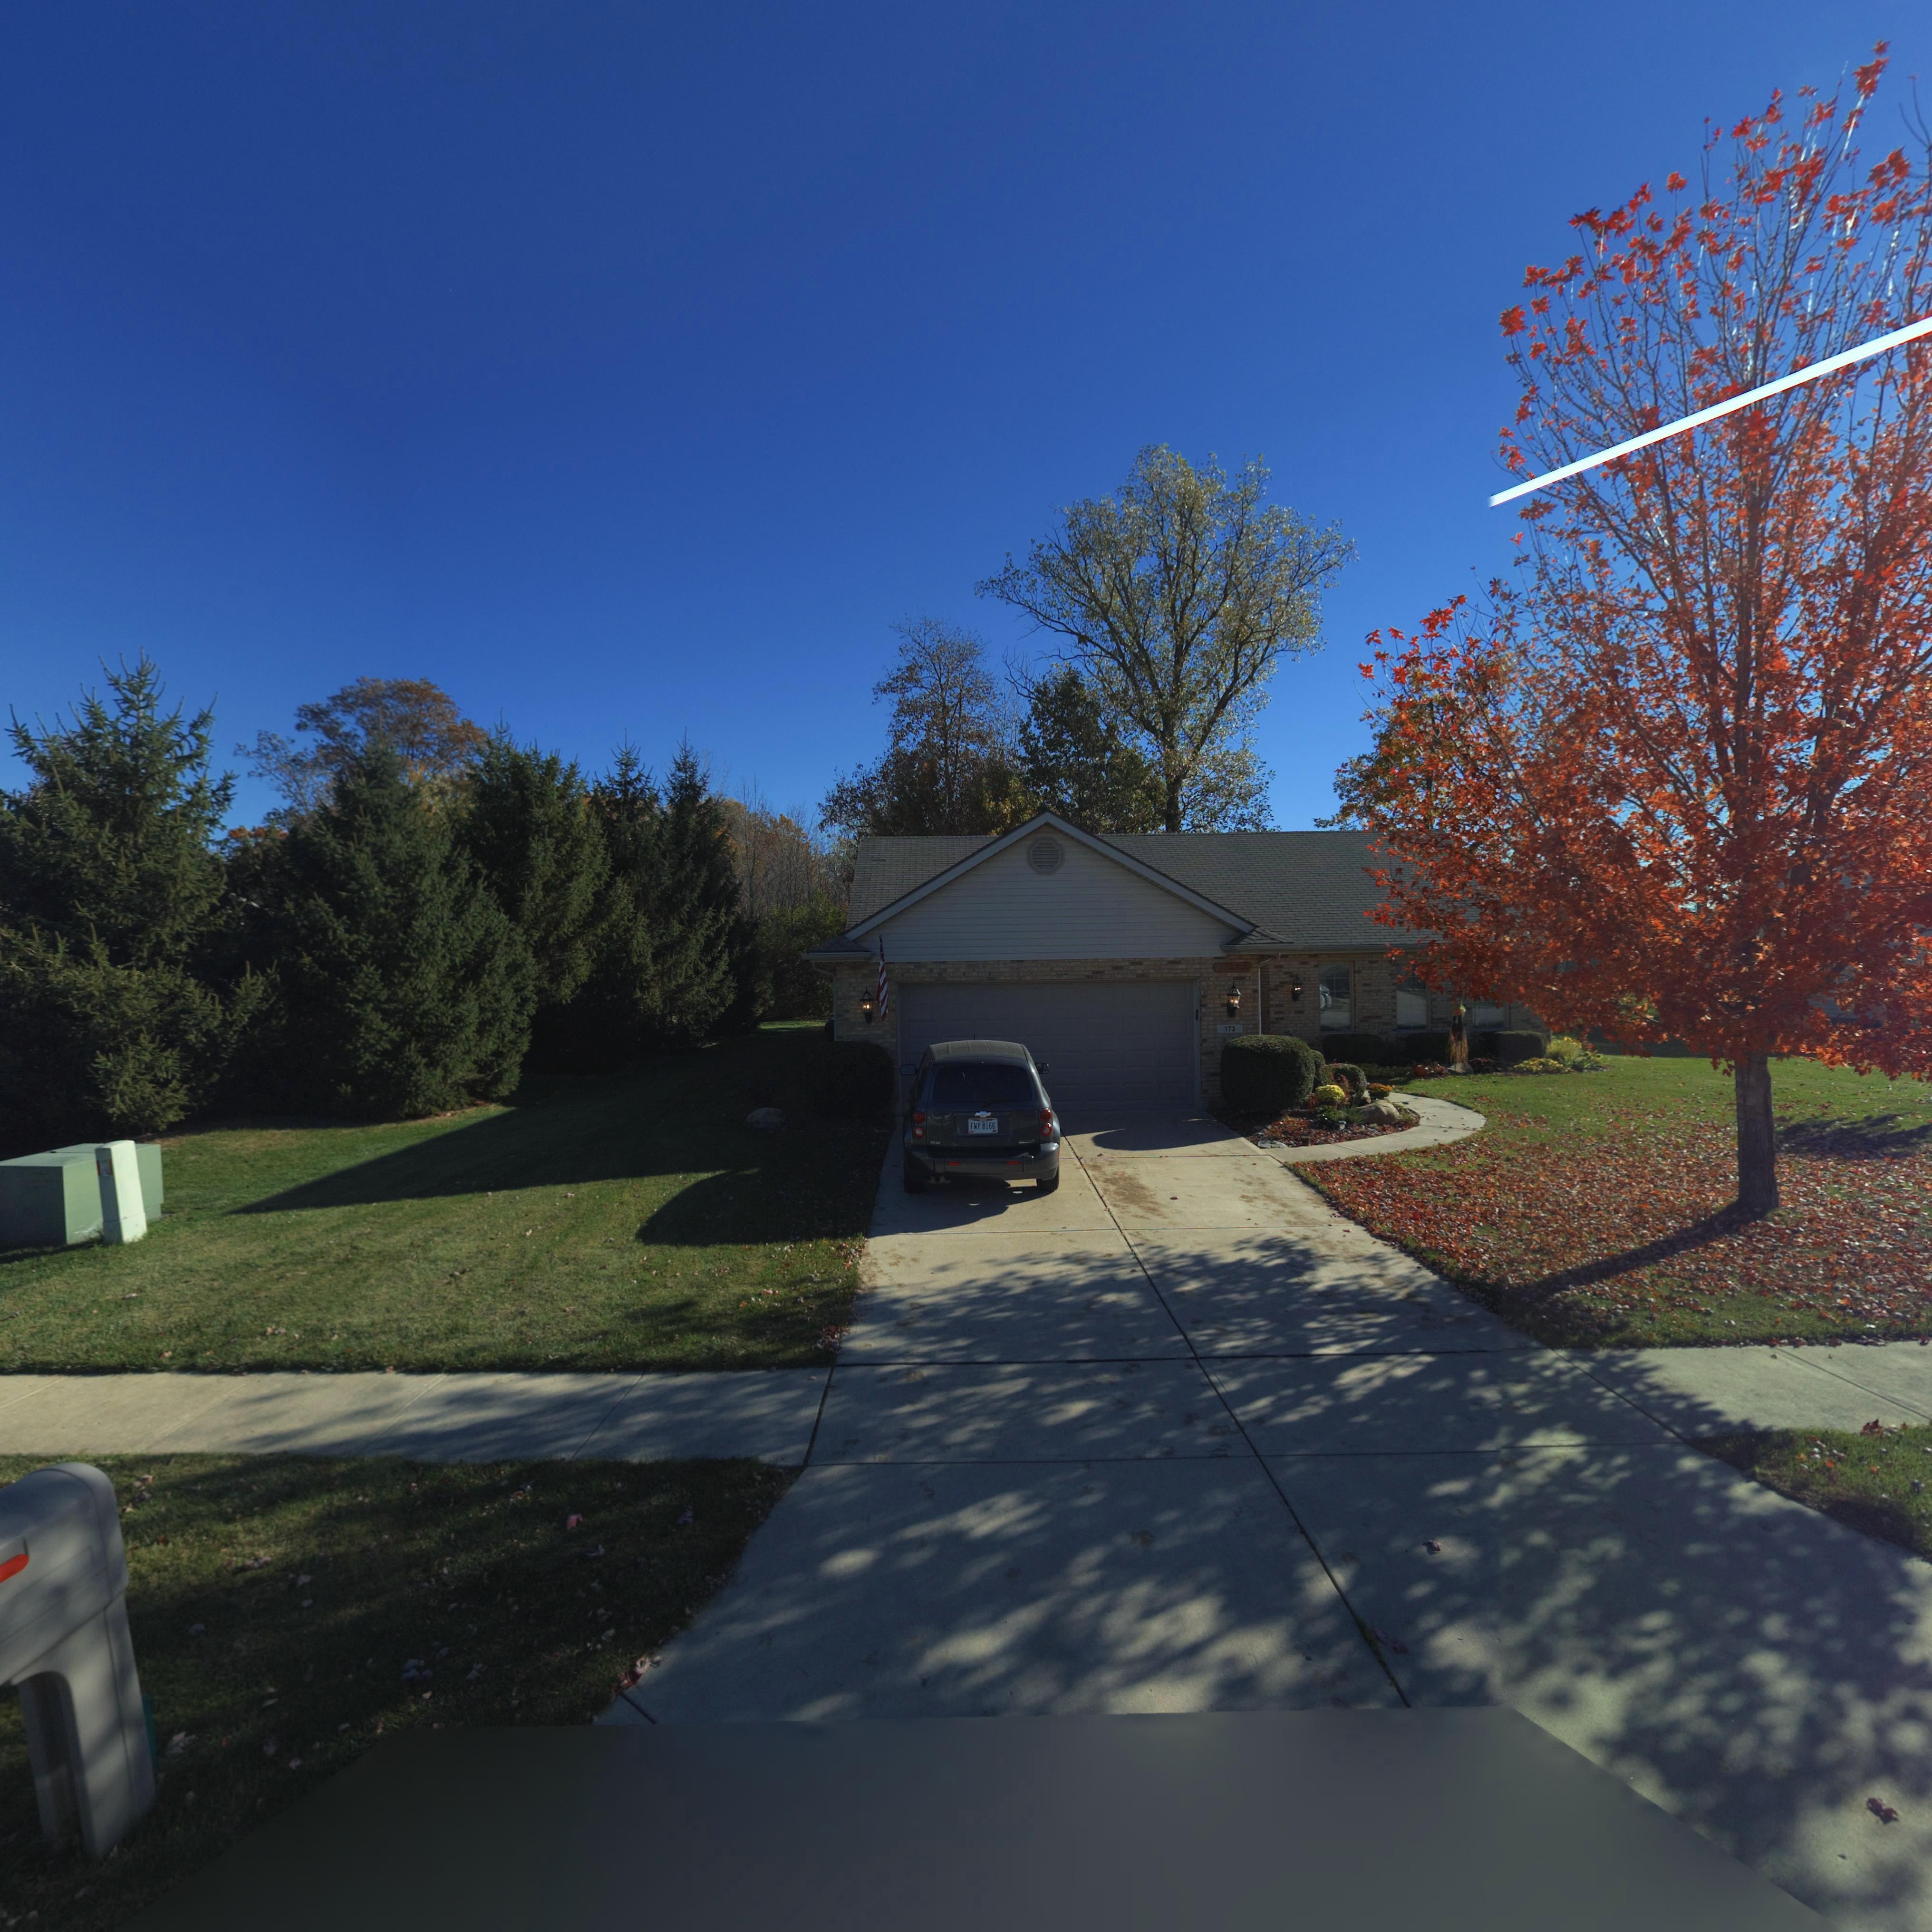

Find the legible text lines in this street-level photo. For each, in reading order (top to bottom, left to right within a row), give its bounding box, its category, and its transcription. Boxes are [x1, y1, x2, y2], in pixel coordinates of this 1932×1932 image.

[1224, 1025, 1236, 1032] StreetNumber: 173